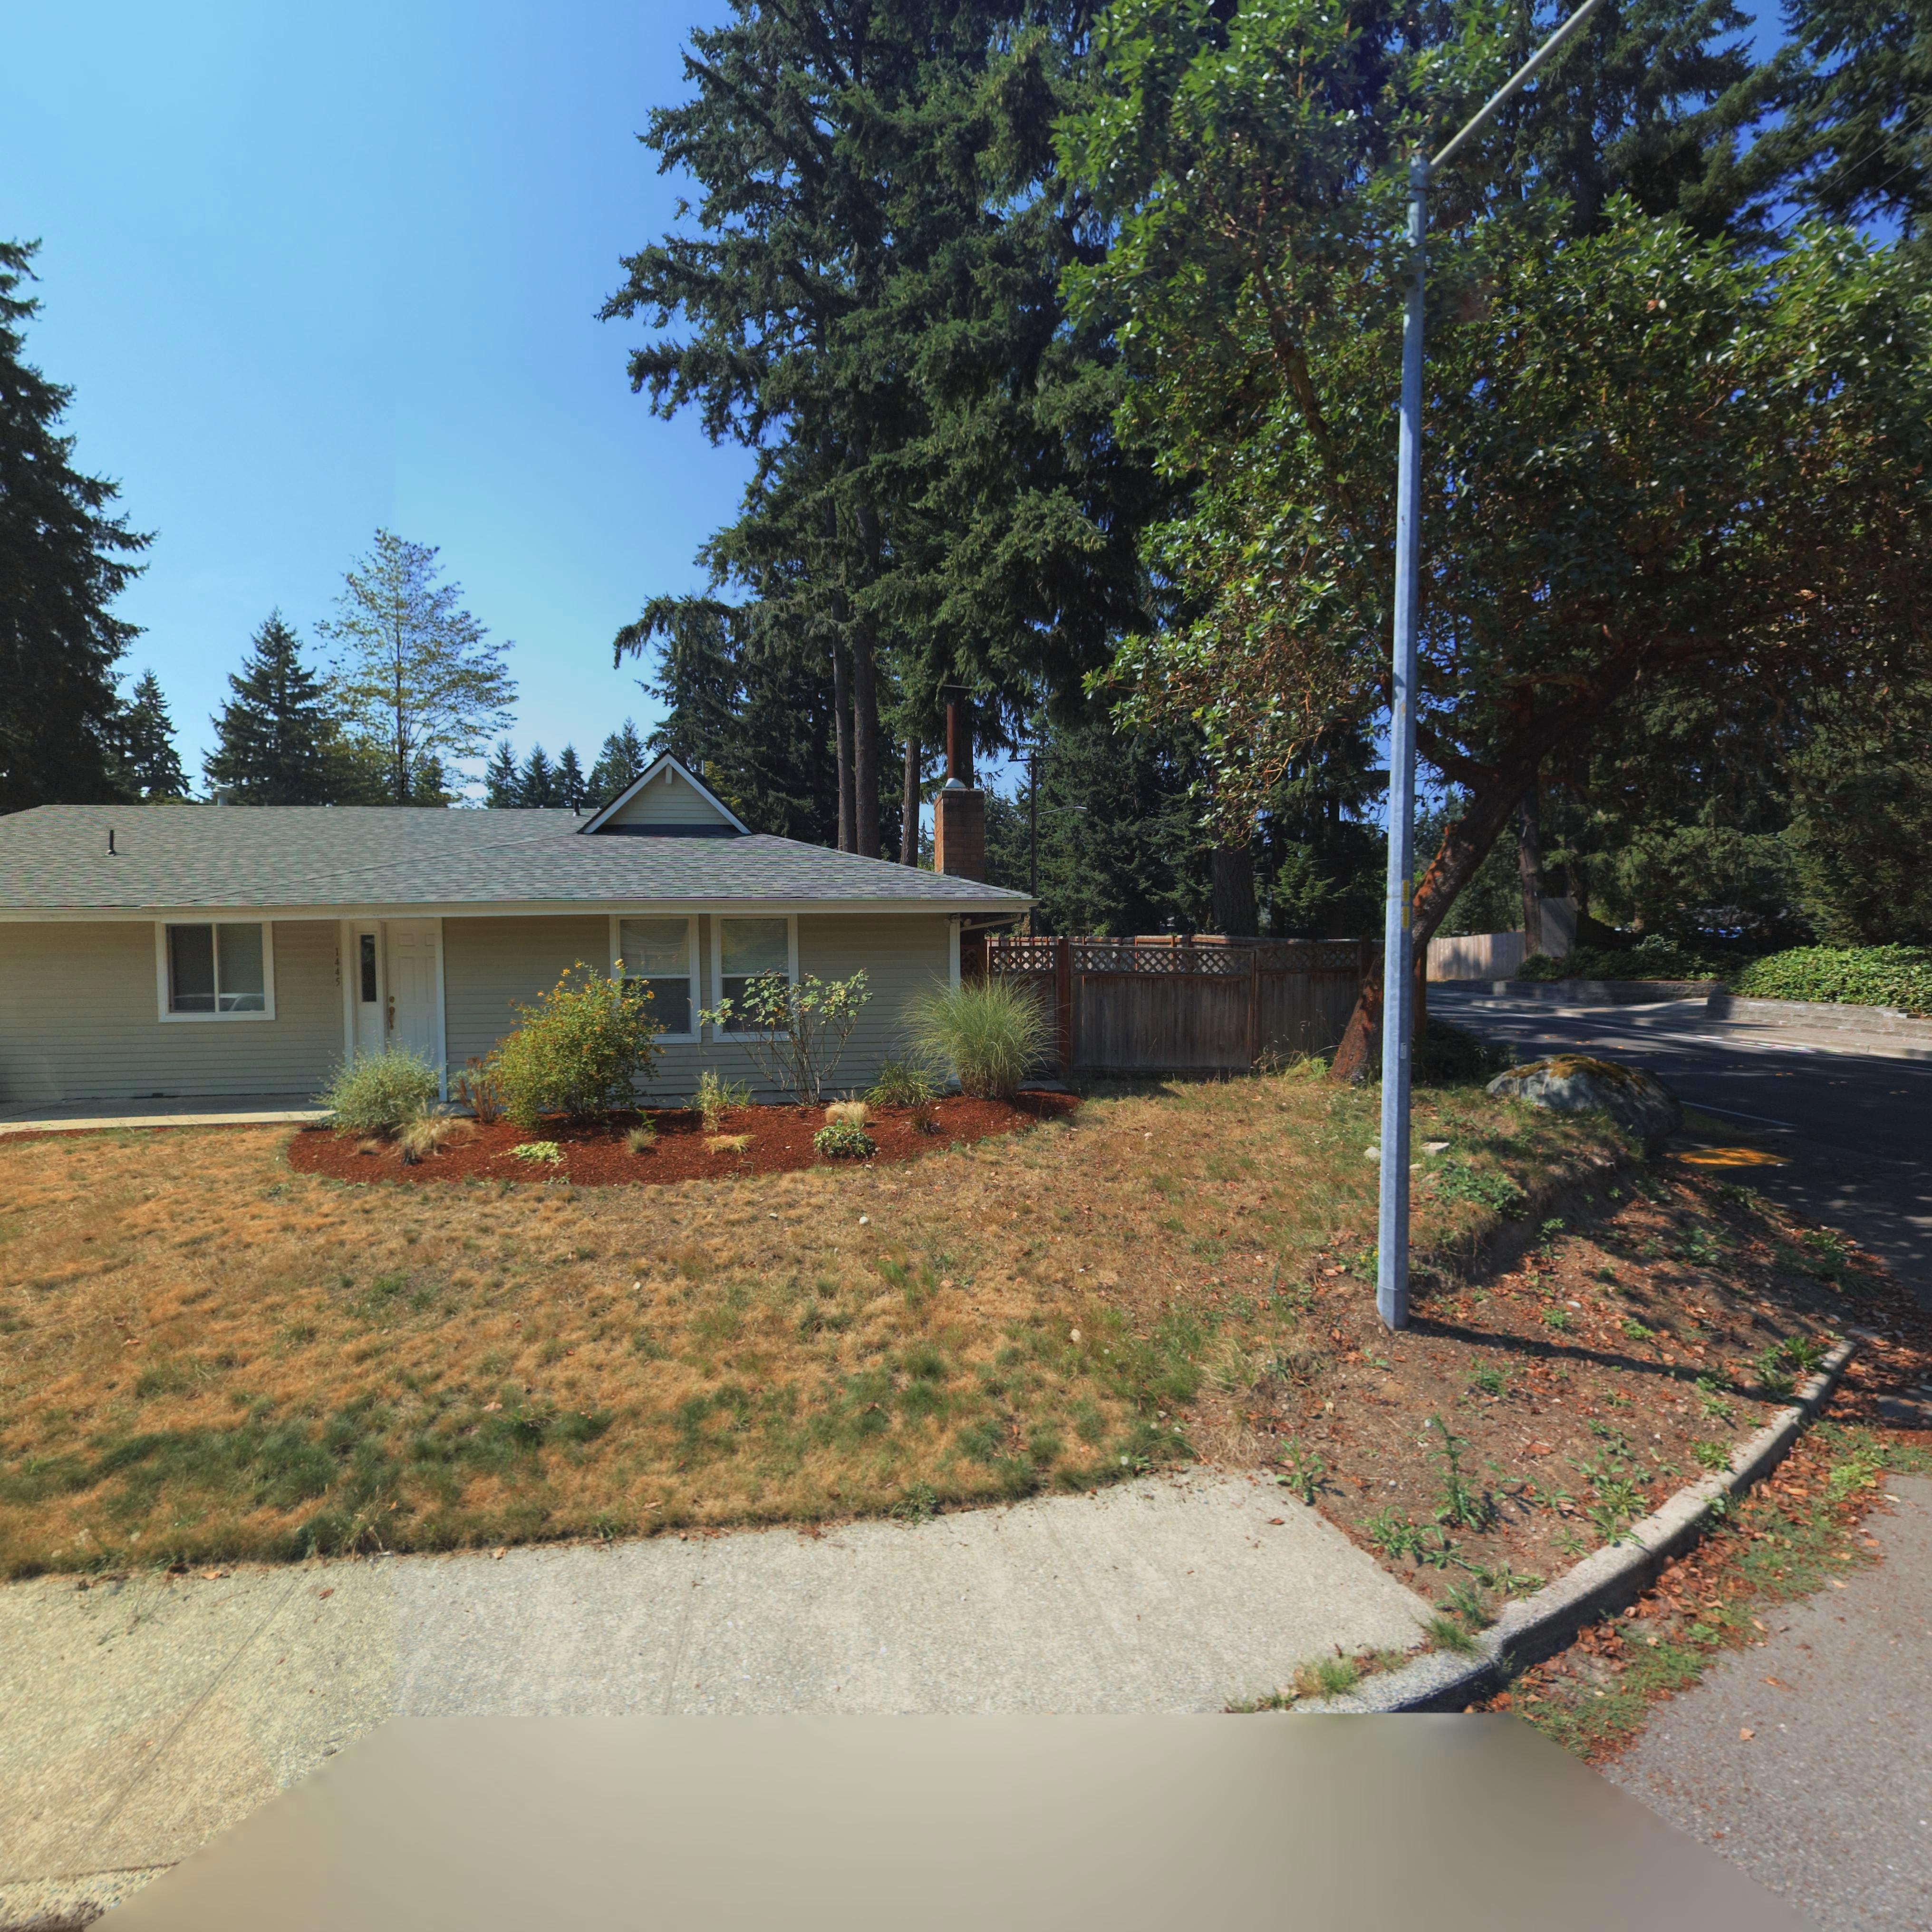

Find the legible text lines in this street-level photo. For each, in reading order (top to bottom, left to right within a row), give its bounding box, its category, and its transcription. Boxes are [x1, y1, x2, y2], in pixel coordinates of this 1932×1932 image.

[334, 947, 340, 986] StreetNumber: 1445